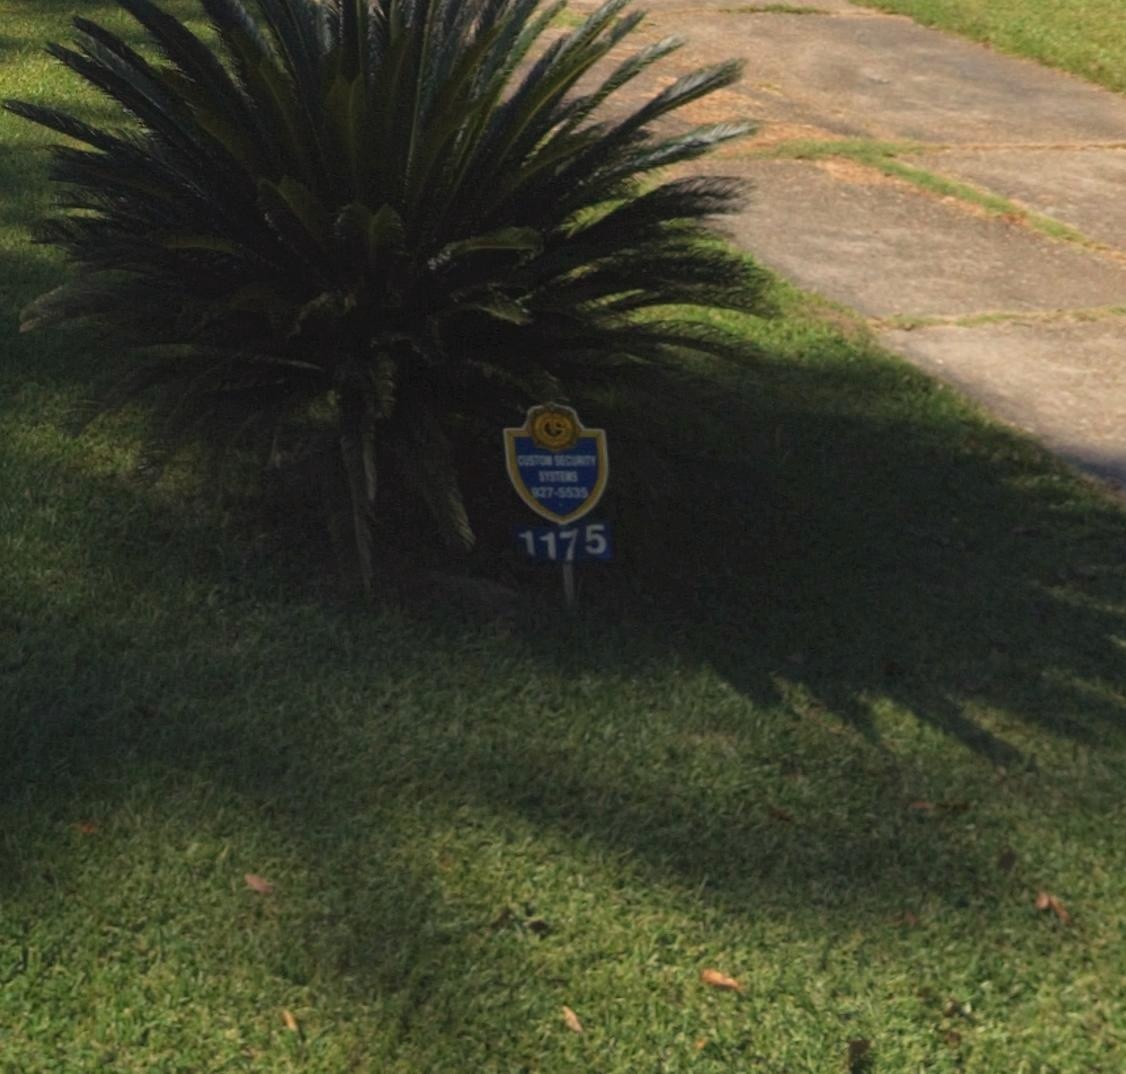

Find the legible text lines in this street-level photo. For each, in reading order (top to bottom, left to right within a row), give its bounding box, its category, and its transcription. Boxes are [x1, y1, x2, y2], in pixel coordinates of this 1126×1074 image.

[516, 522, 609, 565] StreetNumber: 1175